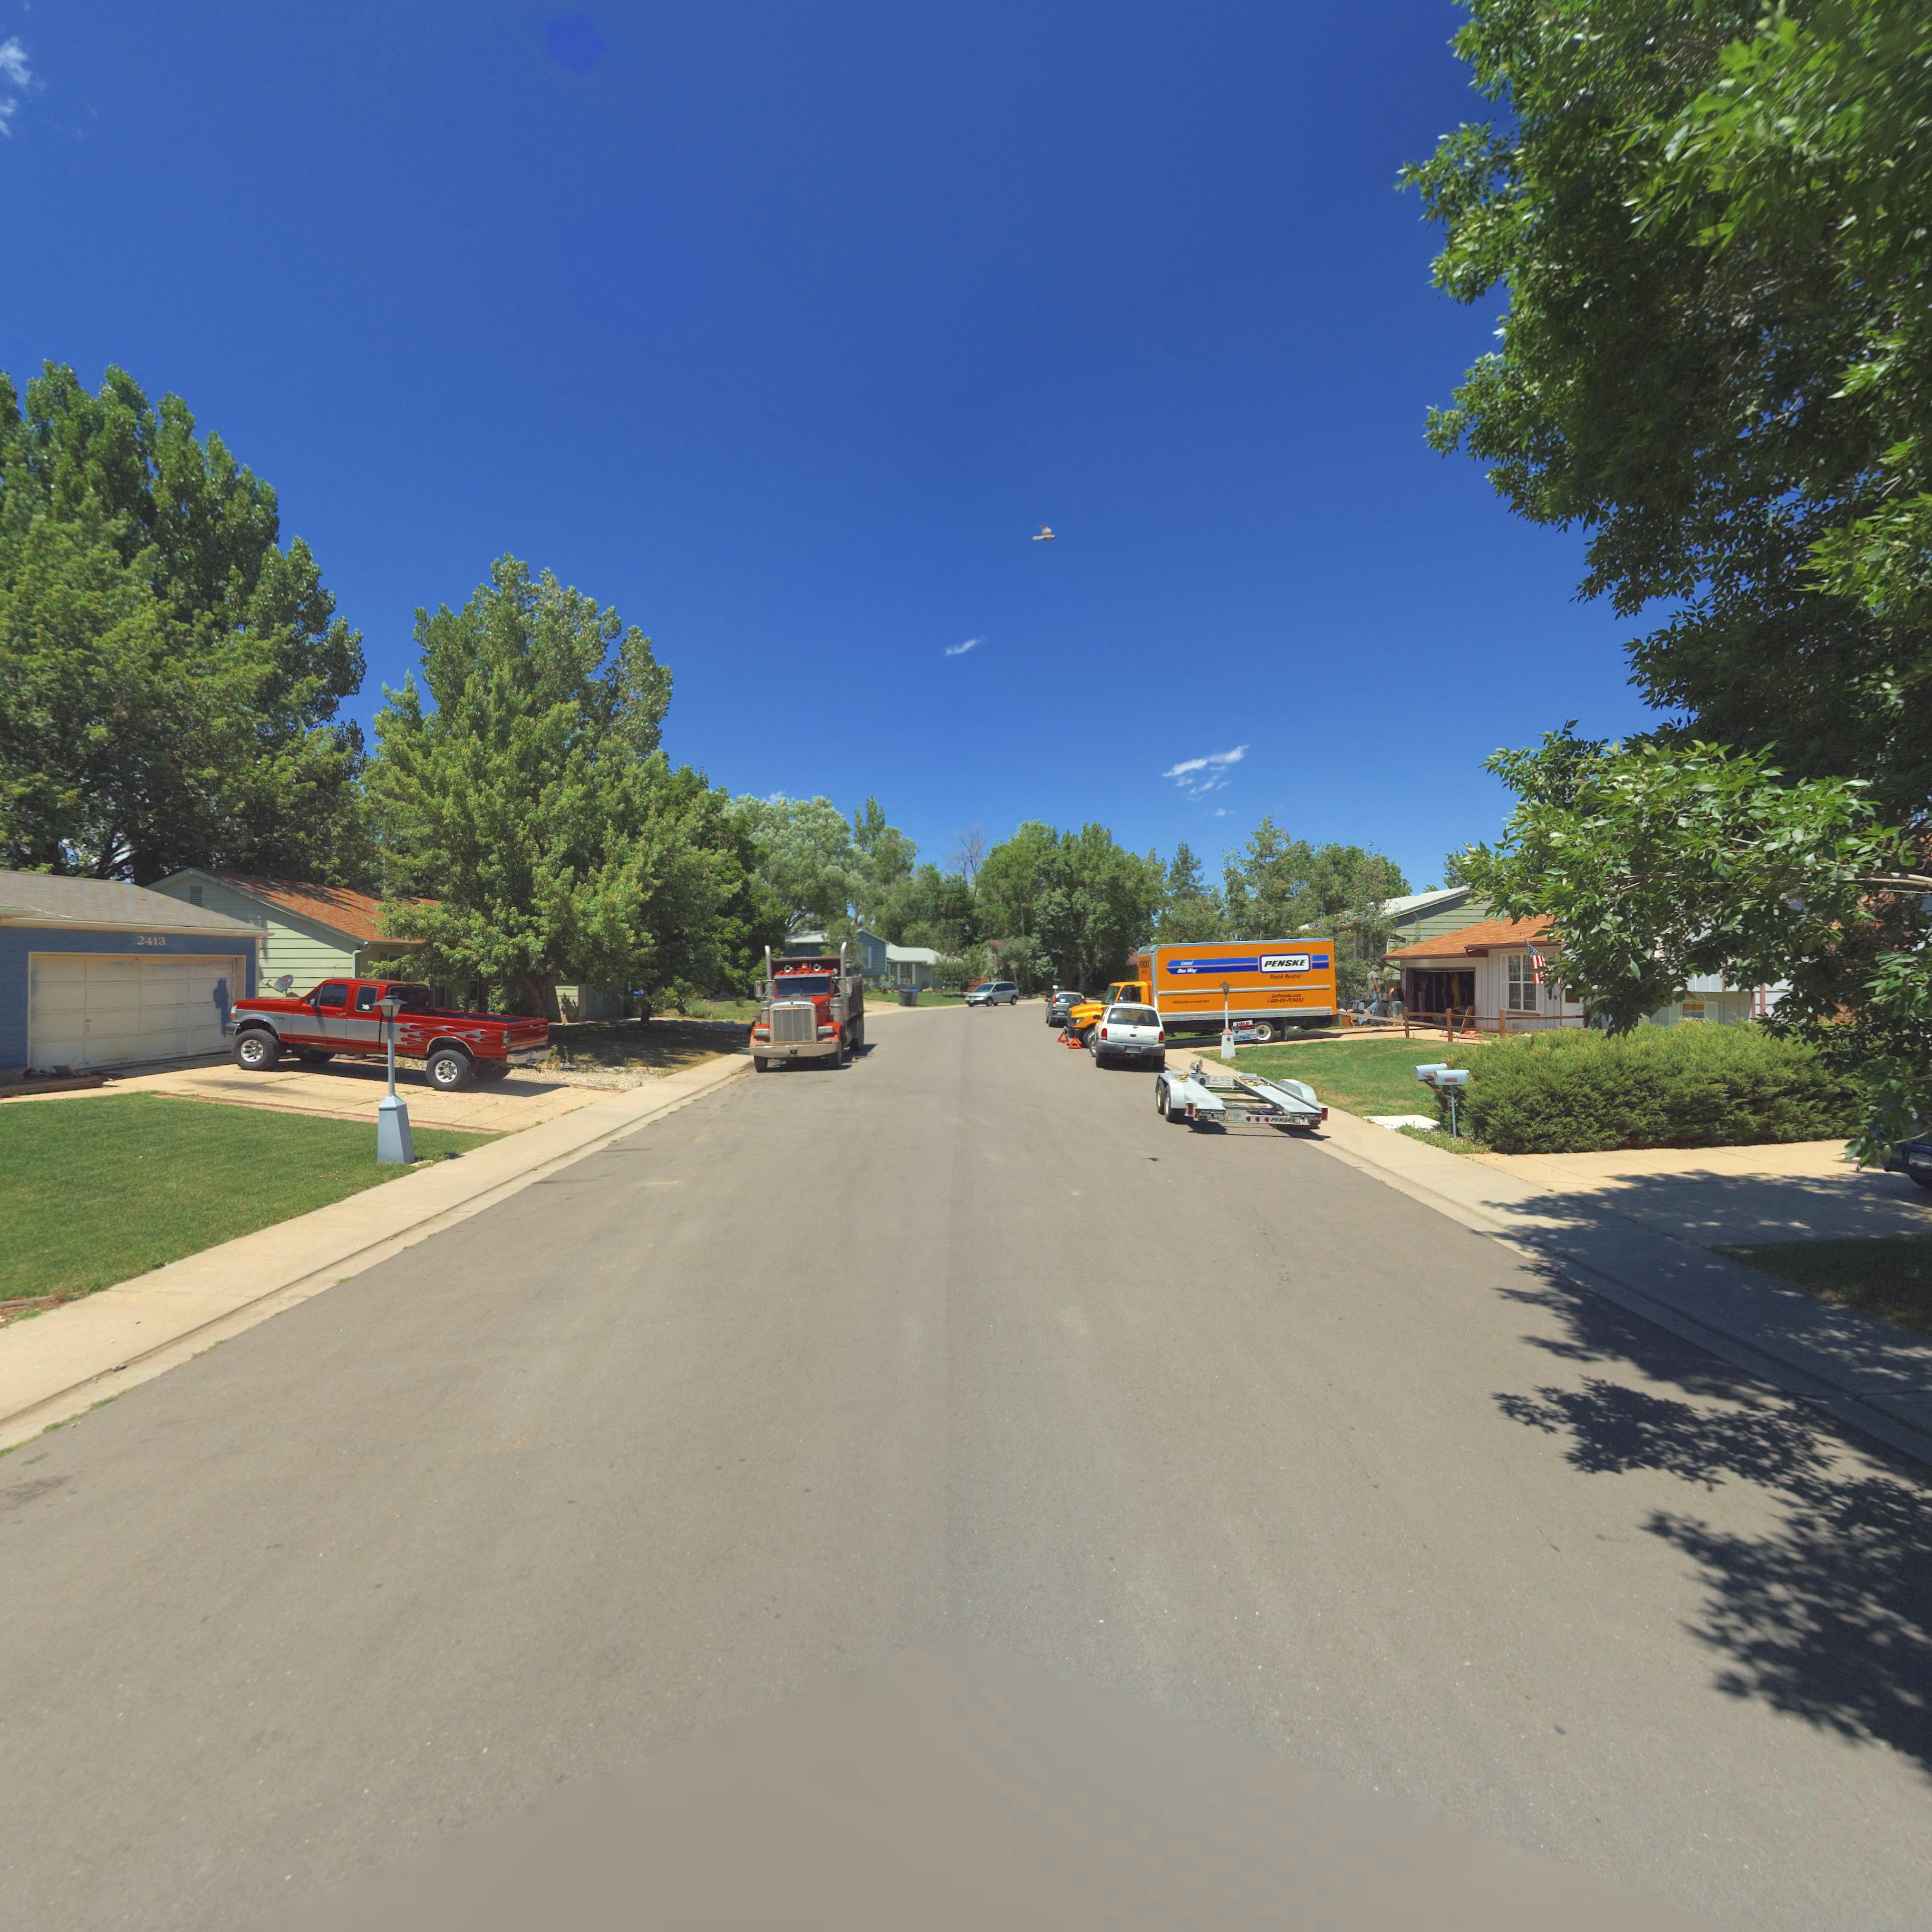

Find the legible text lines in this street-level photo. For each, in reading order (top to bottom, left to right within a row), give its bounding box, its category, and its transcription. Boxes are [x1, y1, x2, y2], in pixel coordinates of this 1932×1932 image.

[136, 935, 165, 945] StreetNumber: 2413